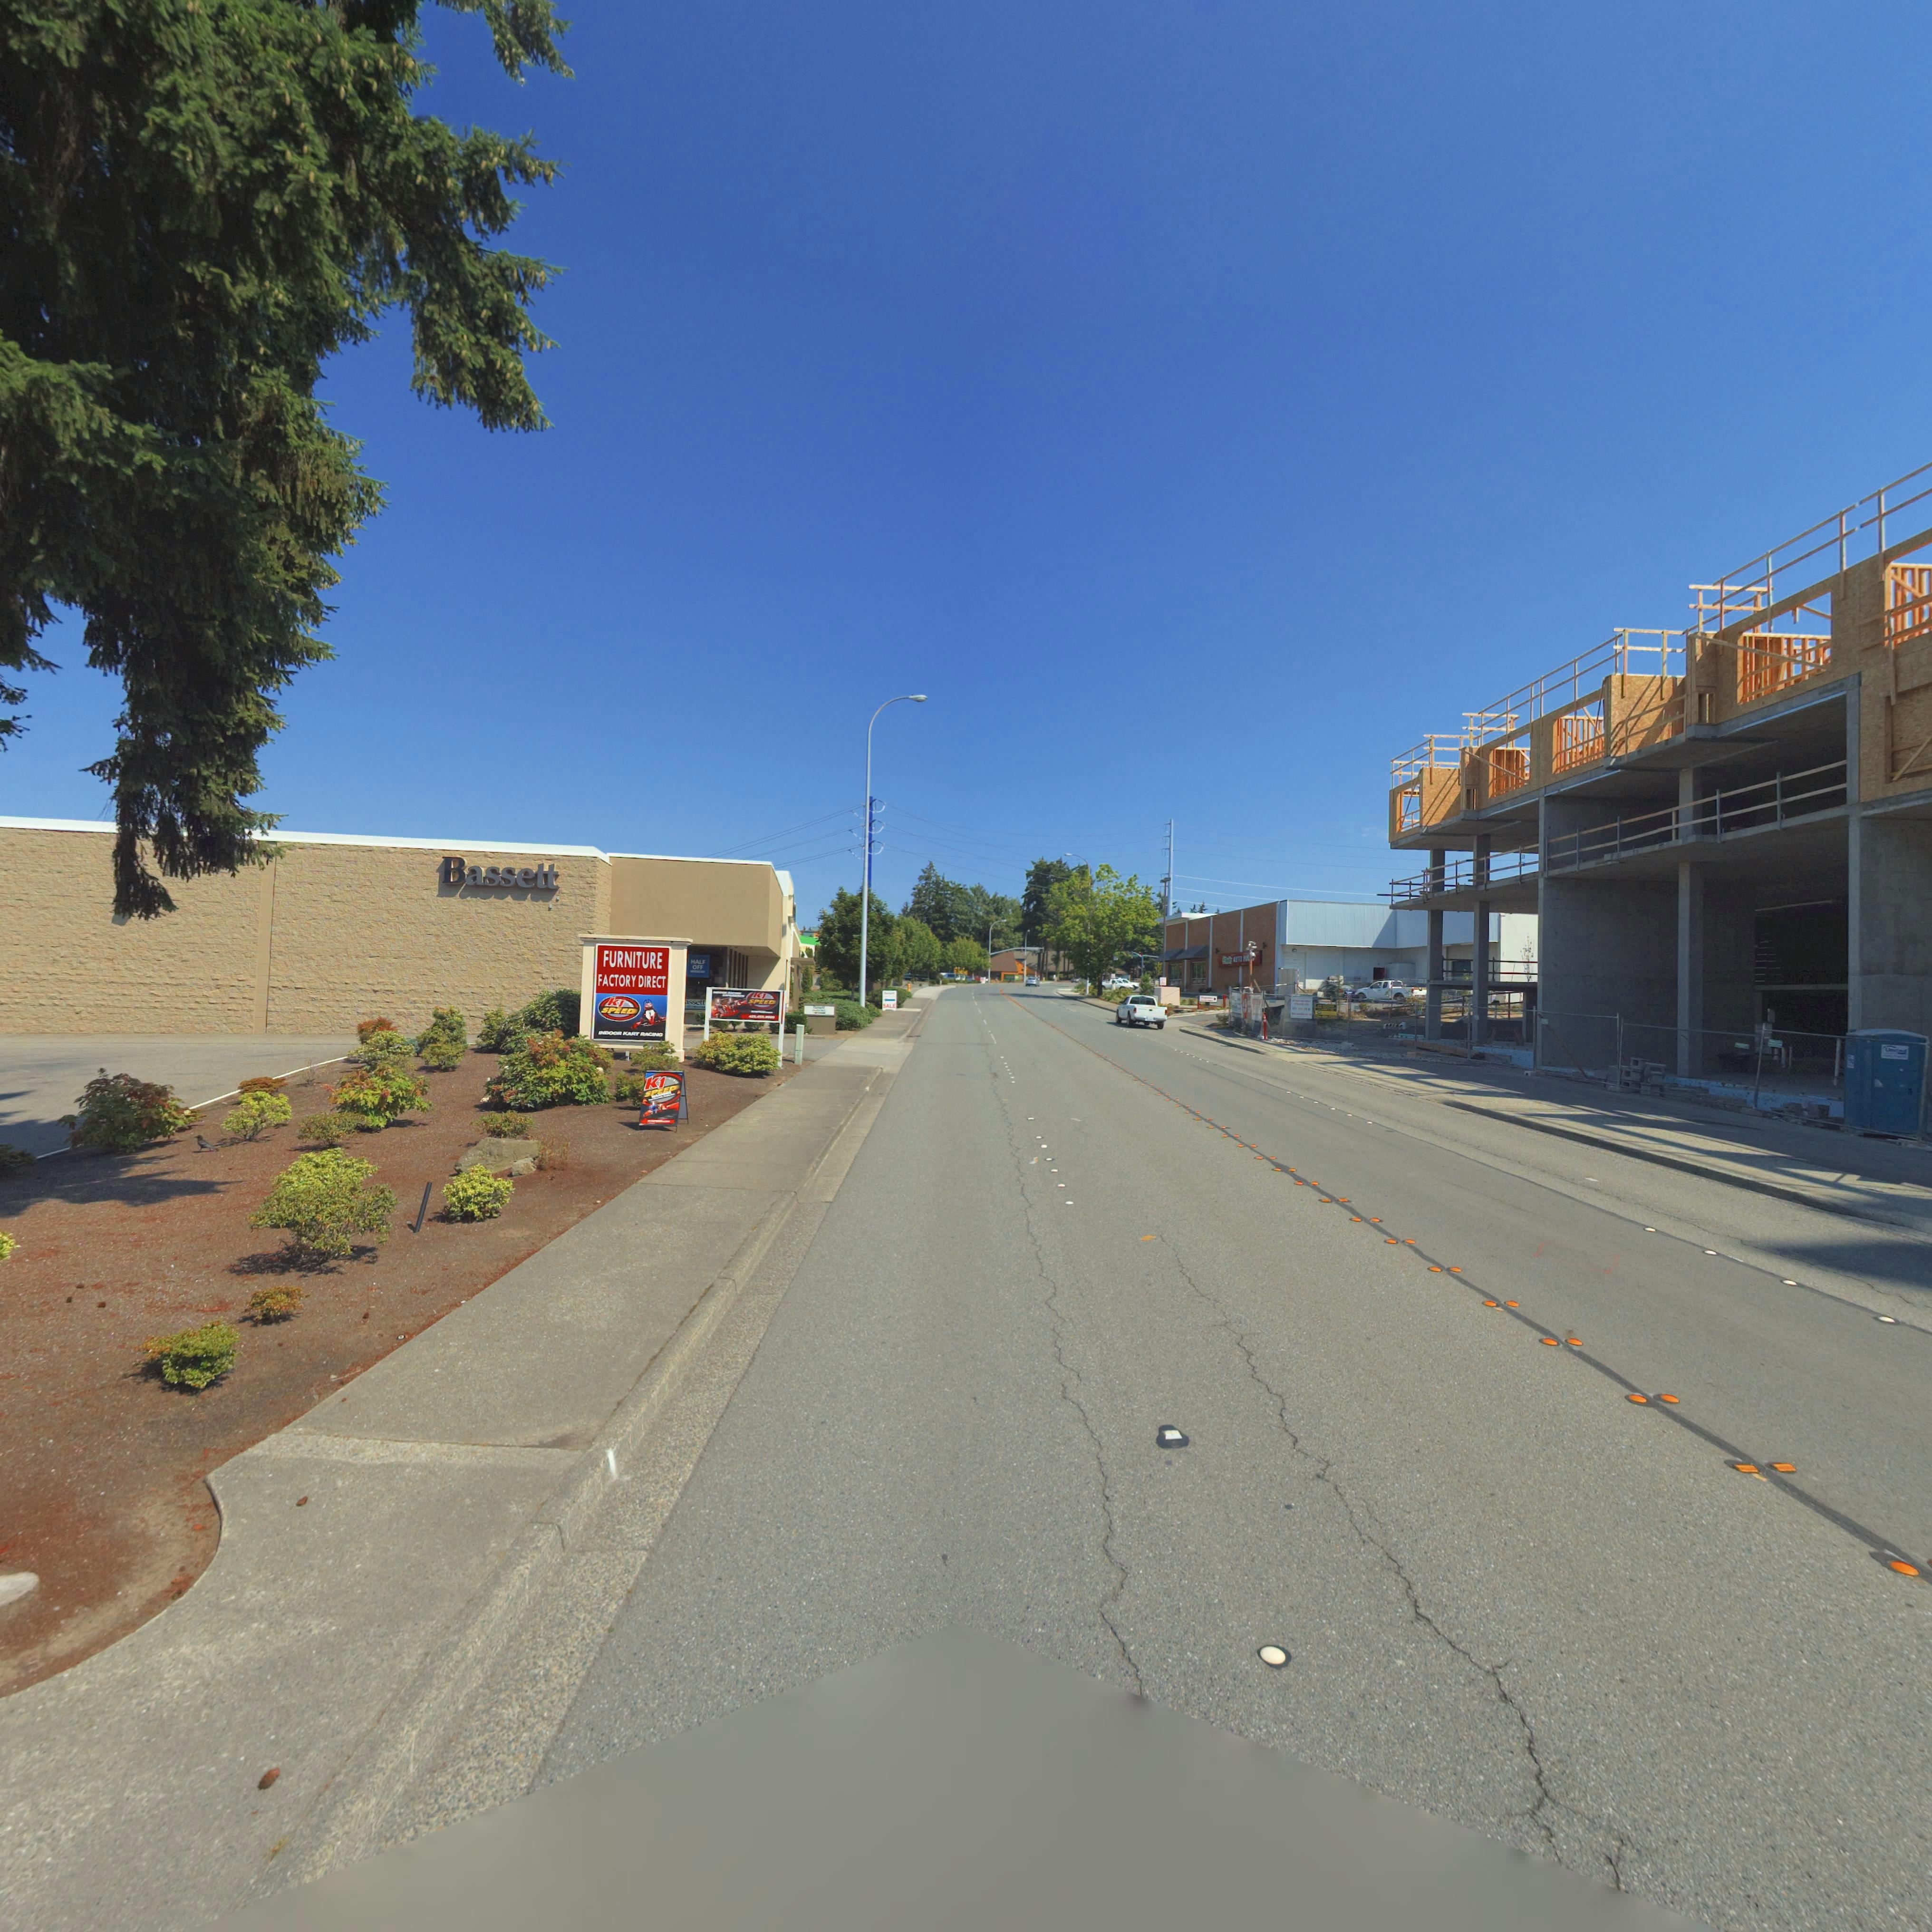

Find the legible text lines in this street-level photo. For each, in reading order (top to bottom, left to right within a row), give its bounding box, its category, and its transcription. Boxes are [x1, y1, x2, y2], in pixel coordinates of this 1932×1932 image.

[441, 855, 560, 890] BusinessName: Bassett
[603, 950, 662, 968] BusinessName: FURNITURE
[1232, 955, 1245, 963] BusinessName: *UTO P
[597, 973, 667, 988] BusinessName: FACTORY DIRECT
[753, 991, 767, 999] BusinessName: k1
[606, 996, 626, 1007] BusinessName: k1
[685, 999, 705, 1005] BusinessName: assett
[747, 998, 776, 1005] BusinessName: SPEED
[600, 1006, 638, 1014] BusinessName: SPEED
[644, 1075, 666, 1090] BusinessName: k1
[644, 1085, 677, 1097] BusinessName: SPEED